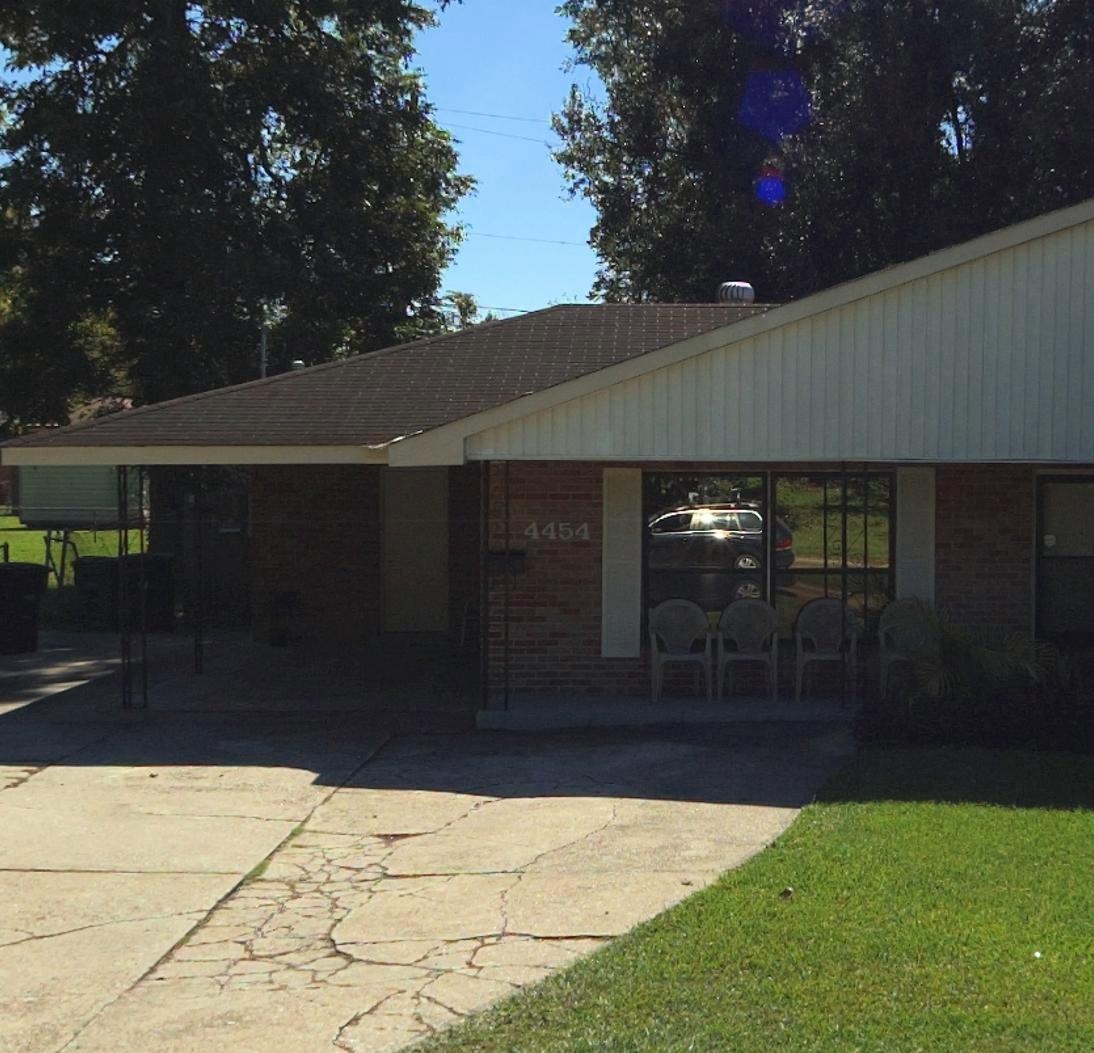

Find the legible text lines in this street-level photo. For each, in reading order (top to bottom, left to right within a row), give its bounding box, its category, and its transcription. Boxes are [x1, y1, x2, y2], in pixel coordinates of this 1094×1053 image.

[522, 521, 592, 541] StreetNumber: 4454